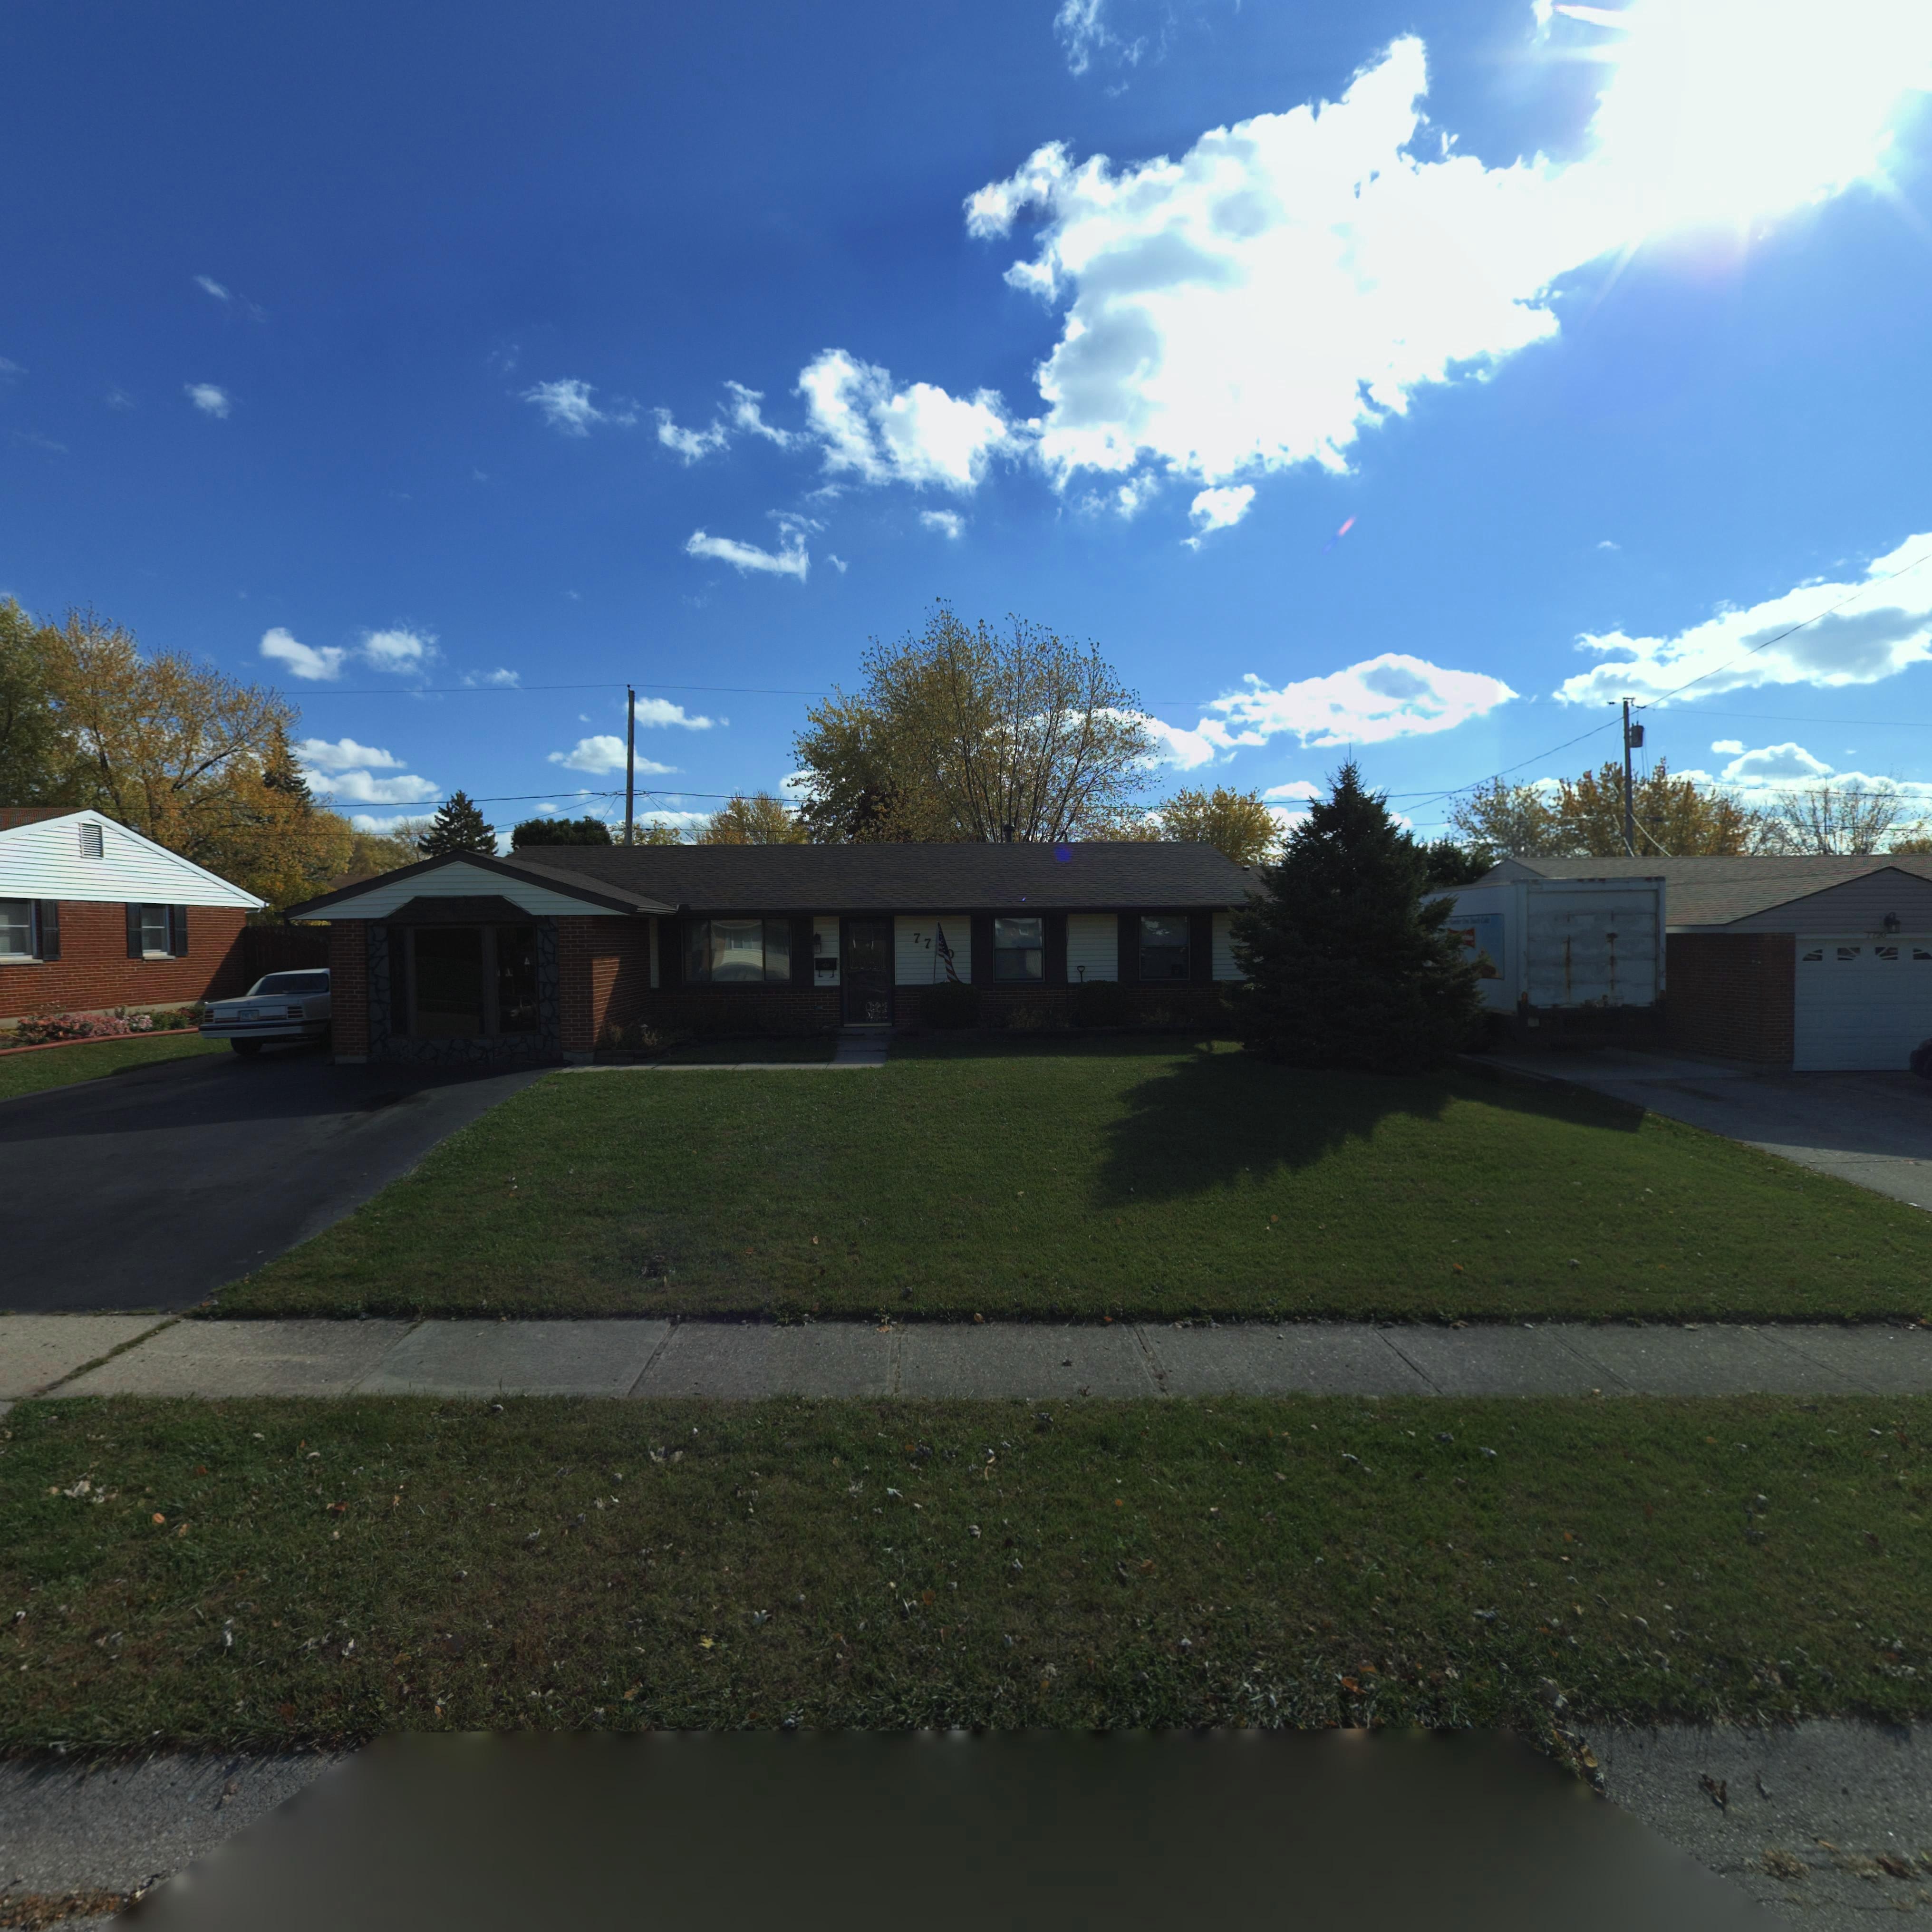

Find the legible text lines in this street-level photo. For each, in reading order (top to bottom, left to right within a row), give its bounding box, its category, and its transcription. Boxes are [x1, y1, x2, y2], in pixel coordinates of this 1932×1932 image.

[913, 933, 932, 949] StreetNumber: 77
[1865, 931, 1887, 939] StreetNumber: 7720